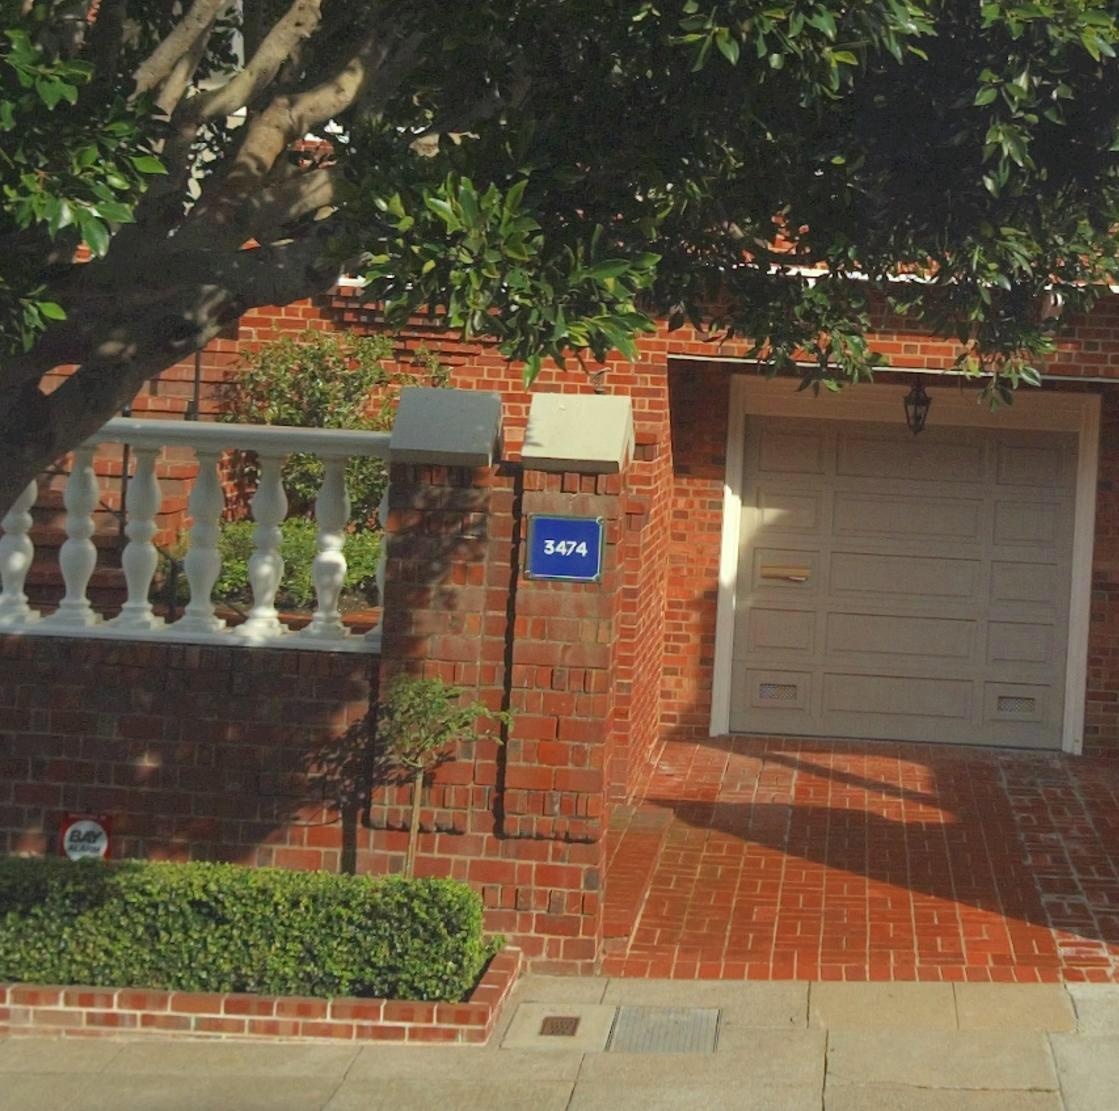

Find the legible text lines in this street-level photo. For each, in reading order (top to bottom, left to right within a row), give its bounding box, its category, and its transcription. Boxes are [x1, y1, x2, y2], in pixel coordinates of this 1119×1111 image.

[540, 536, 591, 560] StreetNumber: 3474
[63, 827, 108, 845] None: BAY